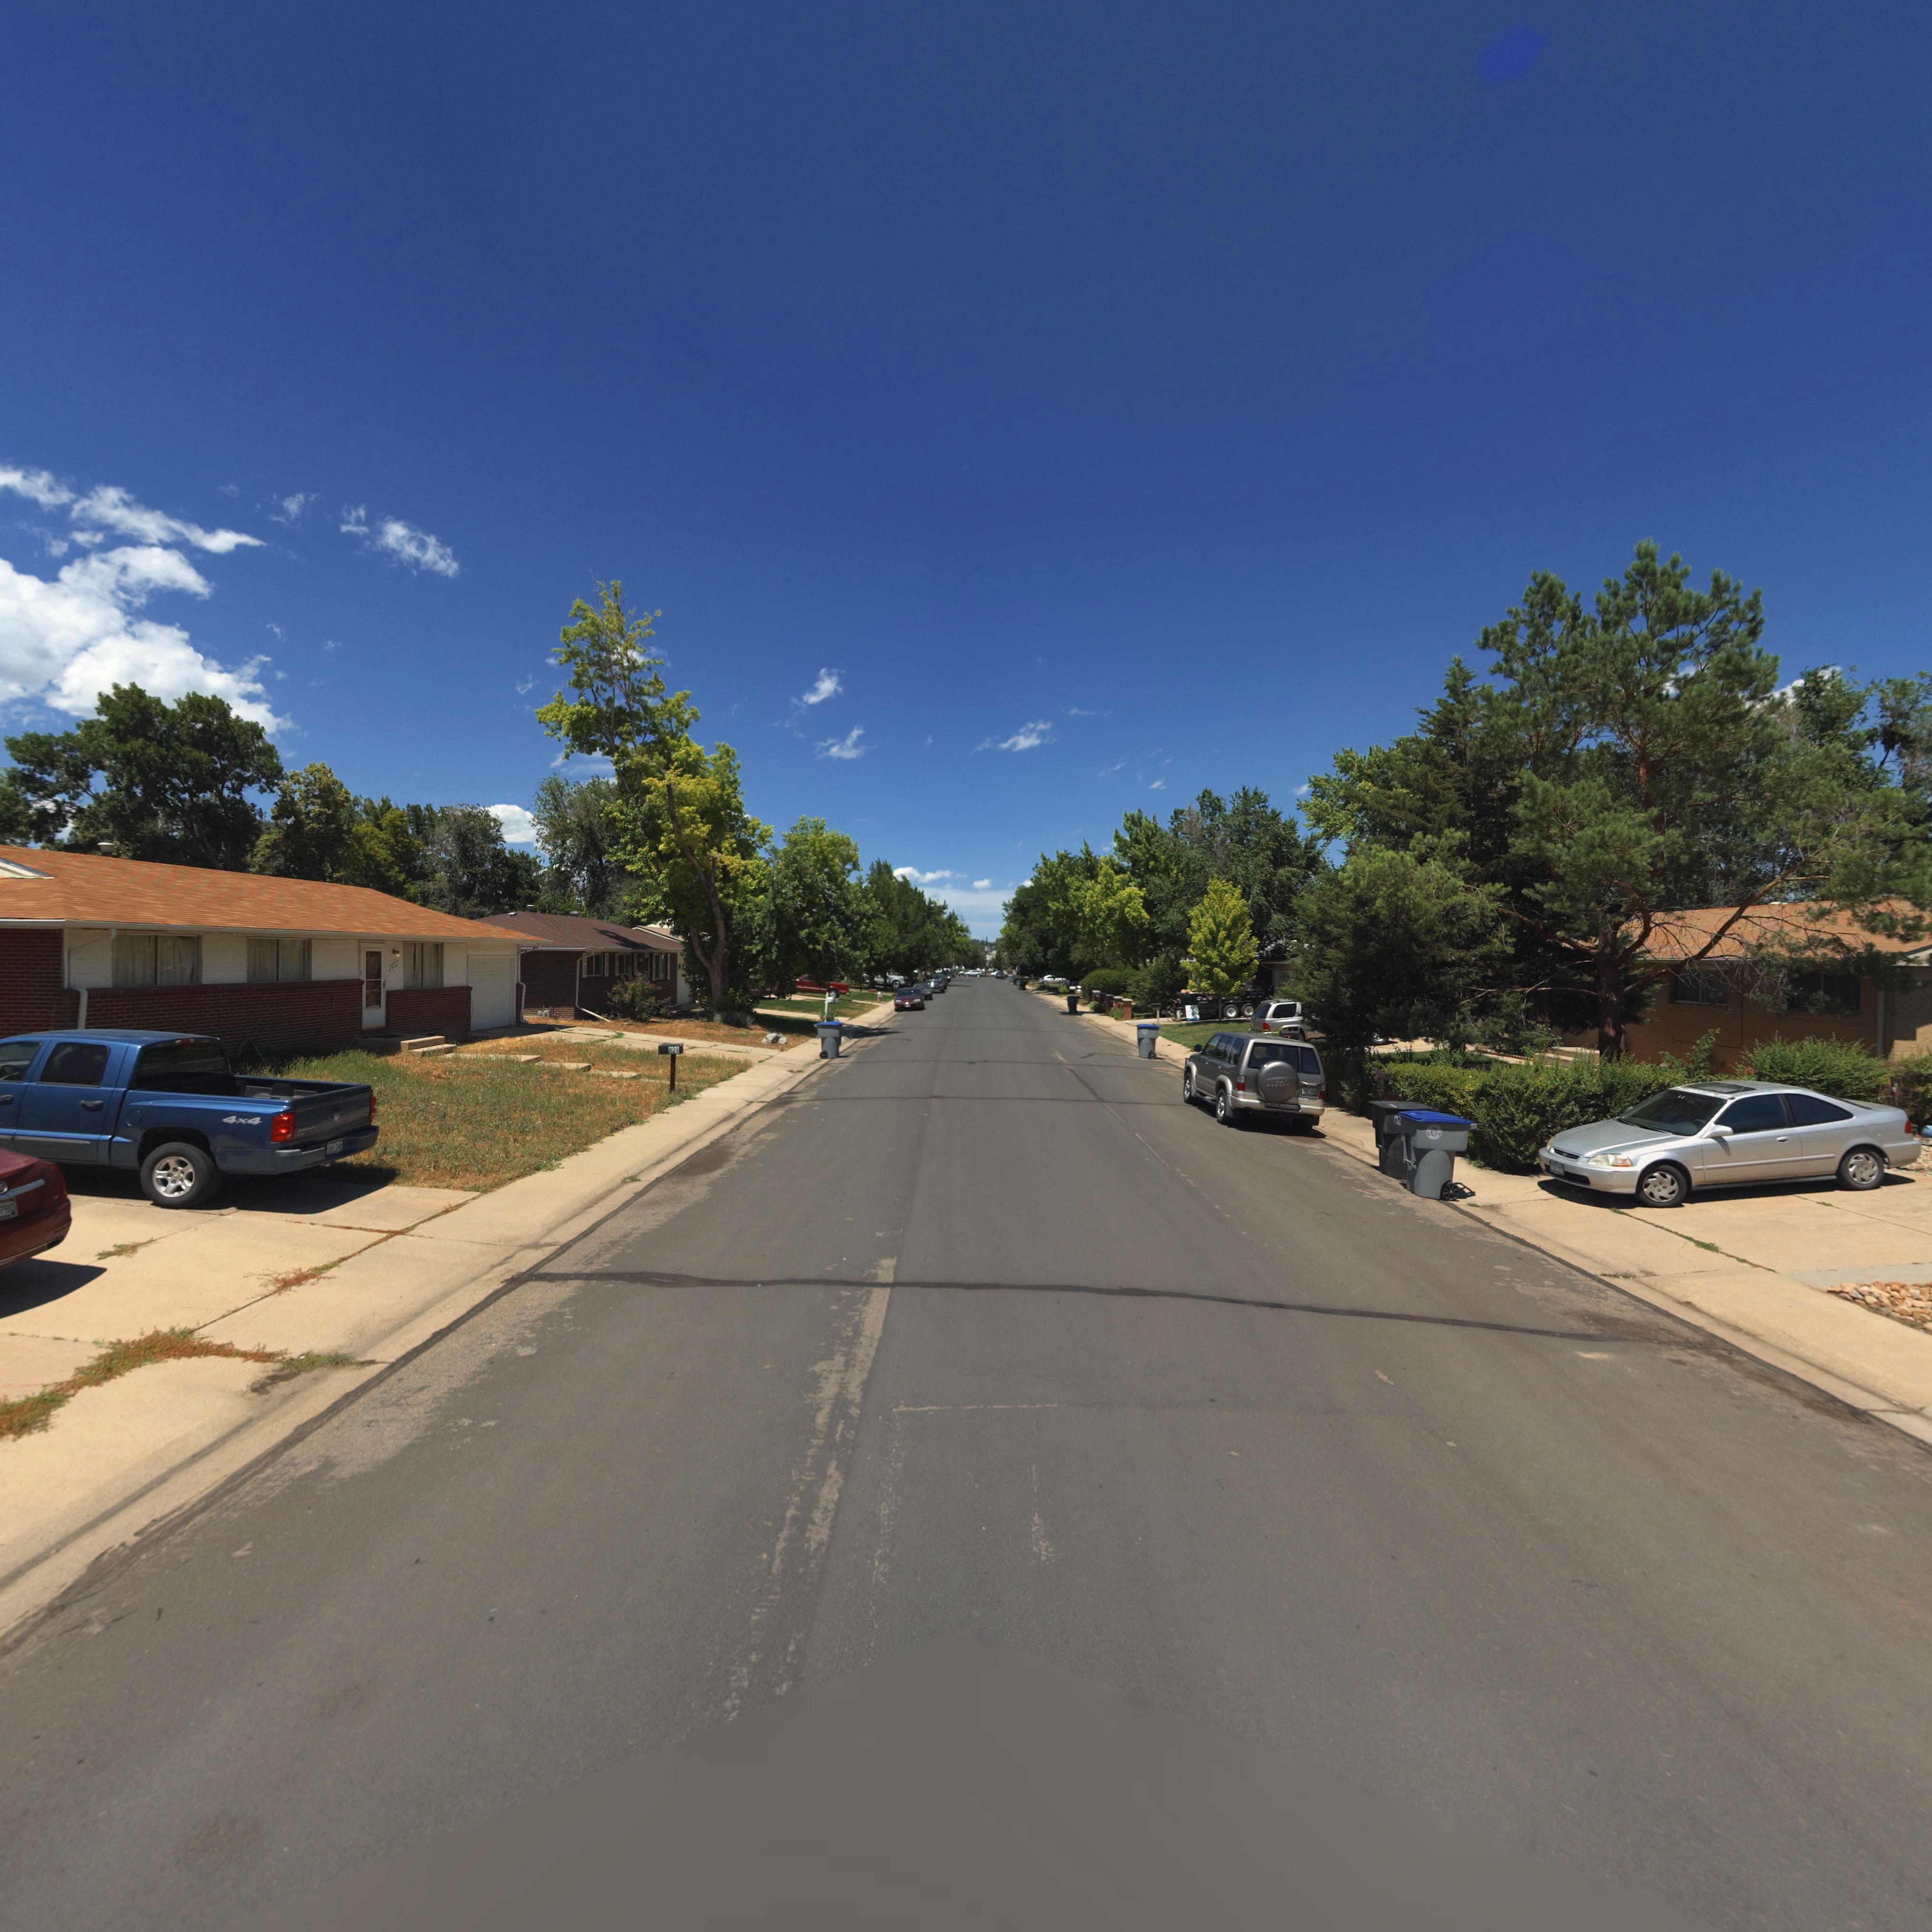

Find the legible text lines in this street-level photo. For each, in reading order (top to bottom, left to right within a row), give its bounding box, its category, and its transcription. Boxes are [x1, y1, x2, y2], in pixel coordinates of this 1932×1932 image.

[391, 962, 398, 969] StreetNumber: *21
[668, 1046, 678, 1053] StreetNumber: 821